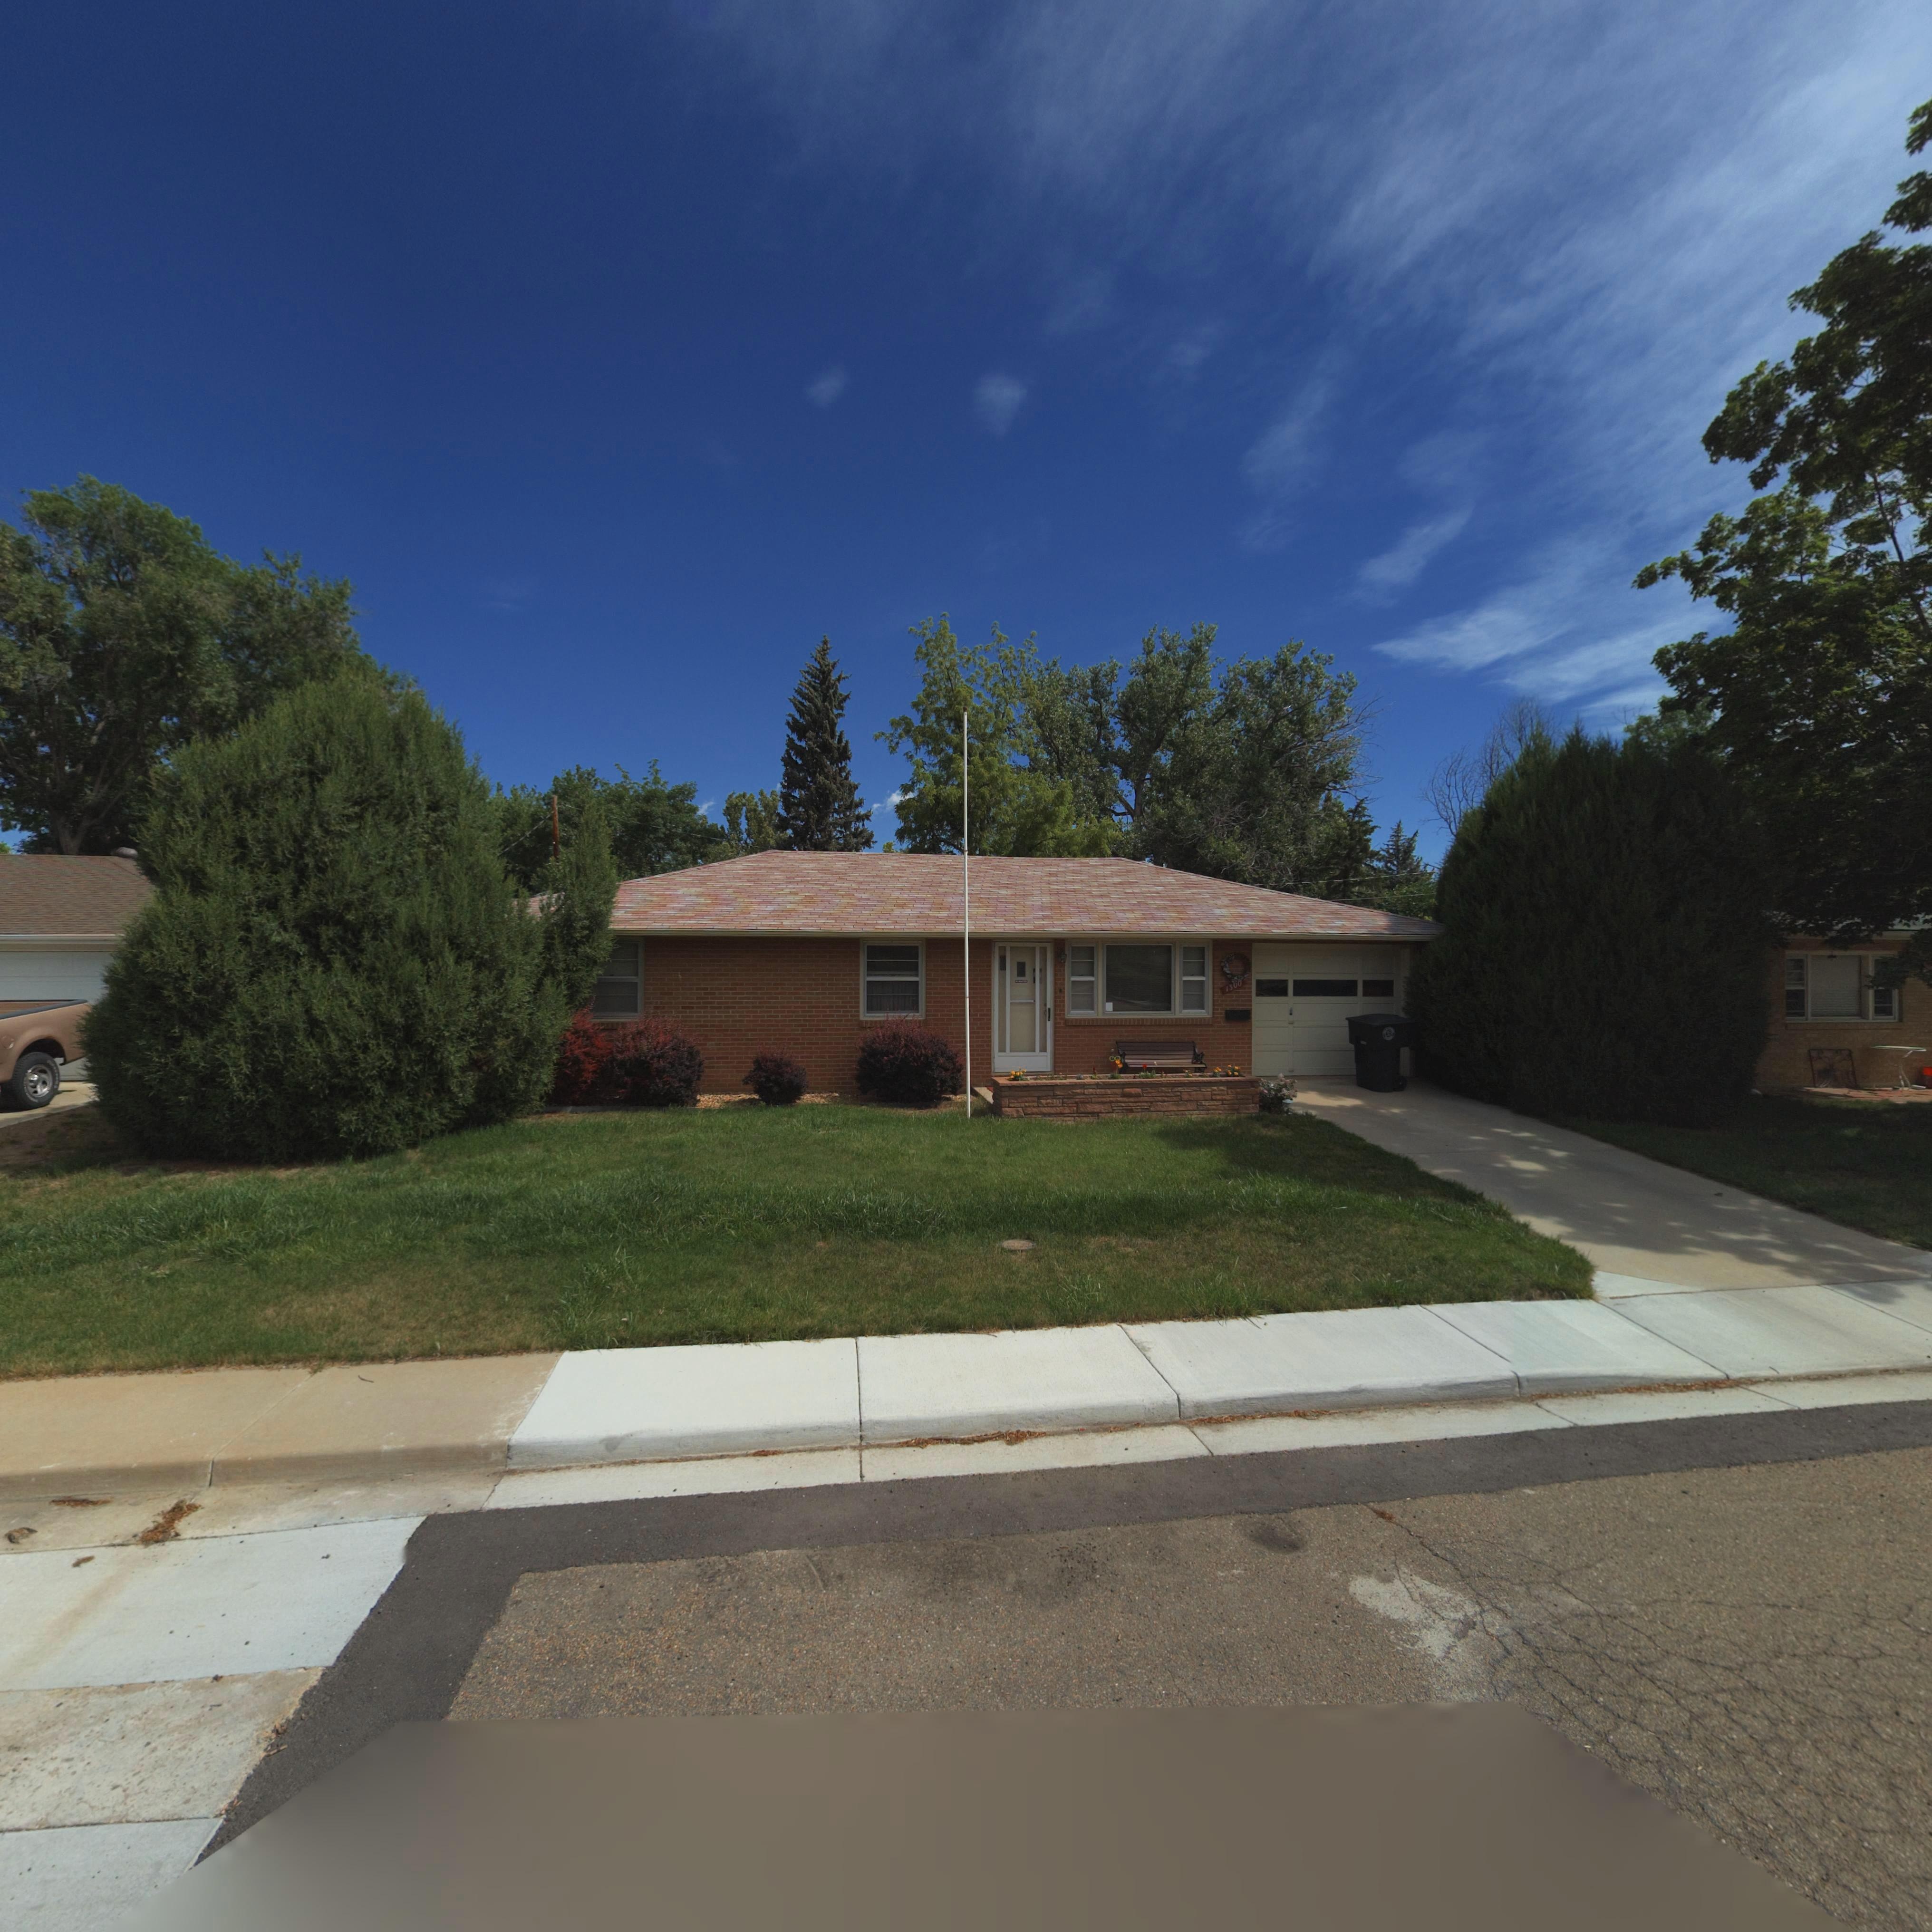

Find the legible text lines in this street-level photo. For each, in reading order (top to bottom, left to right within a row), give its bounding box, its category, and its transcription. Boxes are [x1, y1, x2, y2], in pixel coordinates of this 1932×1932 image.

[1226, 979, 1242, 992] StreetNumber: 1300